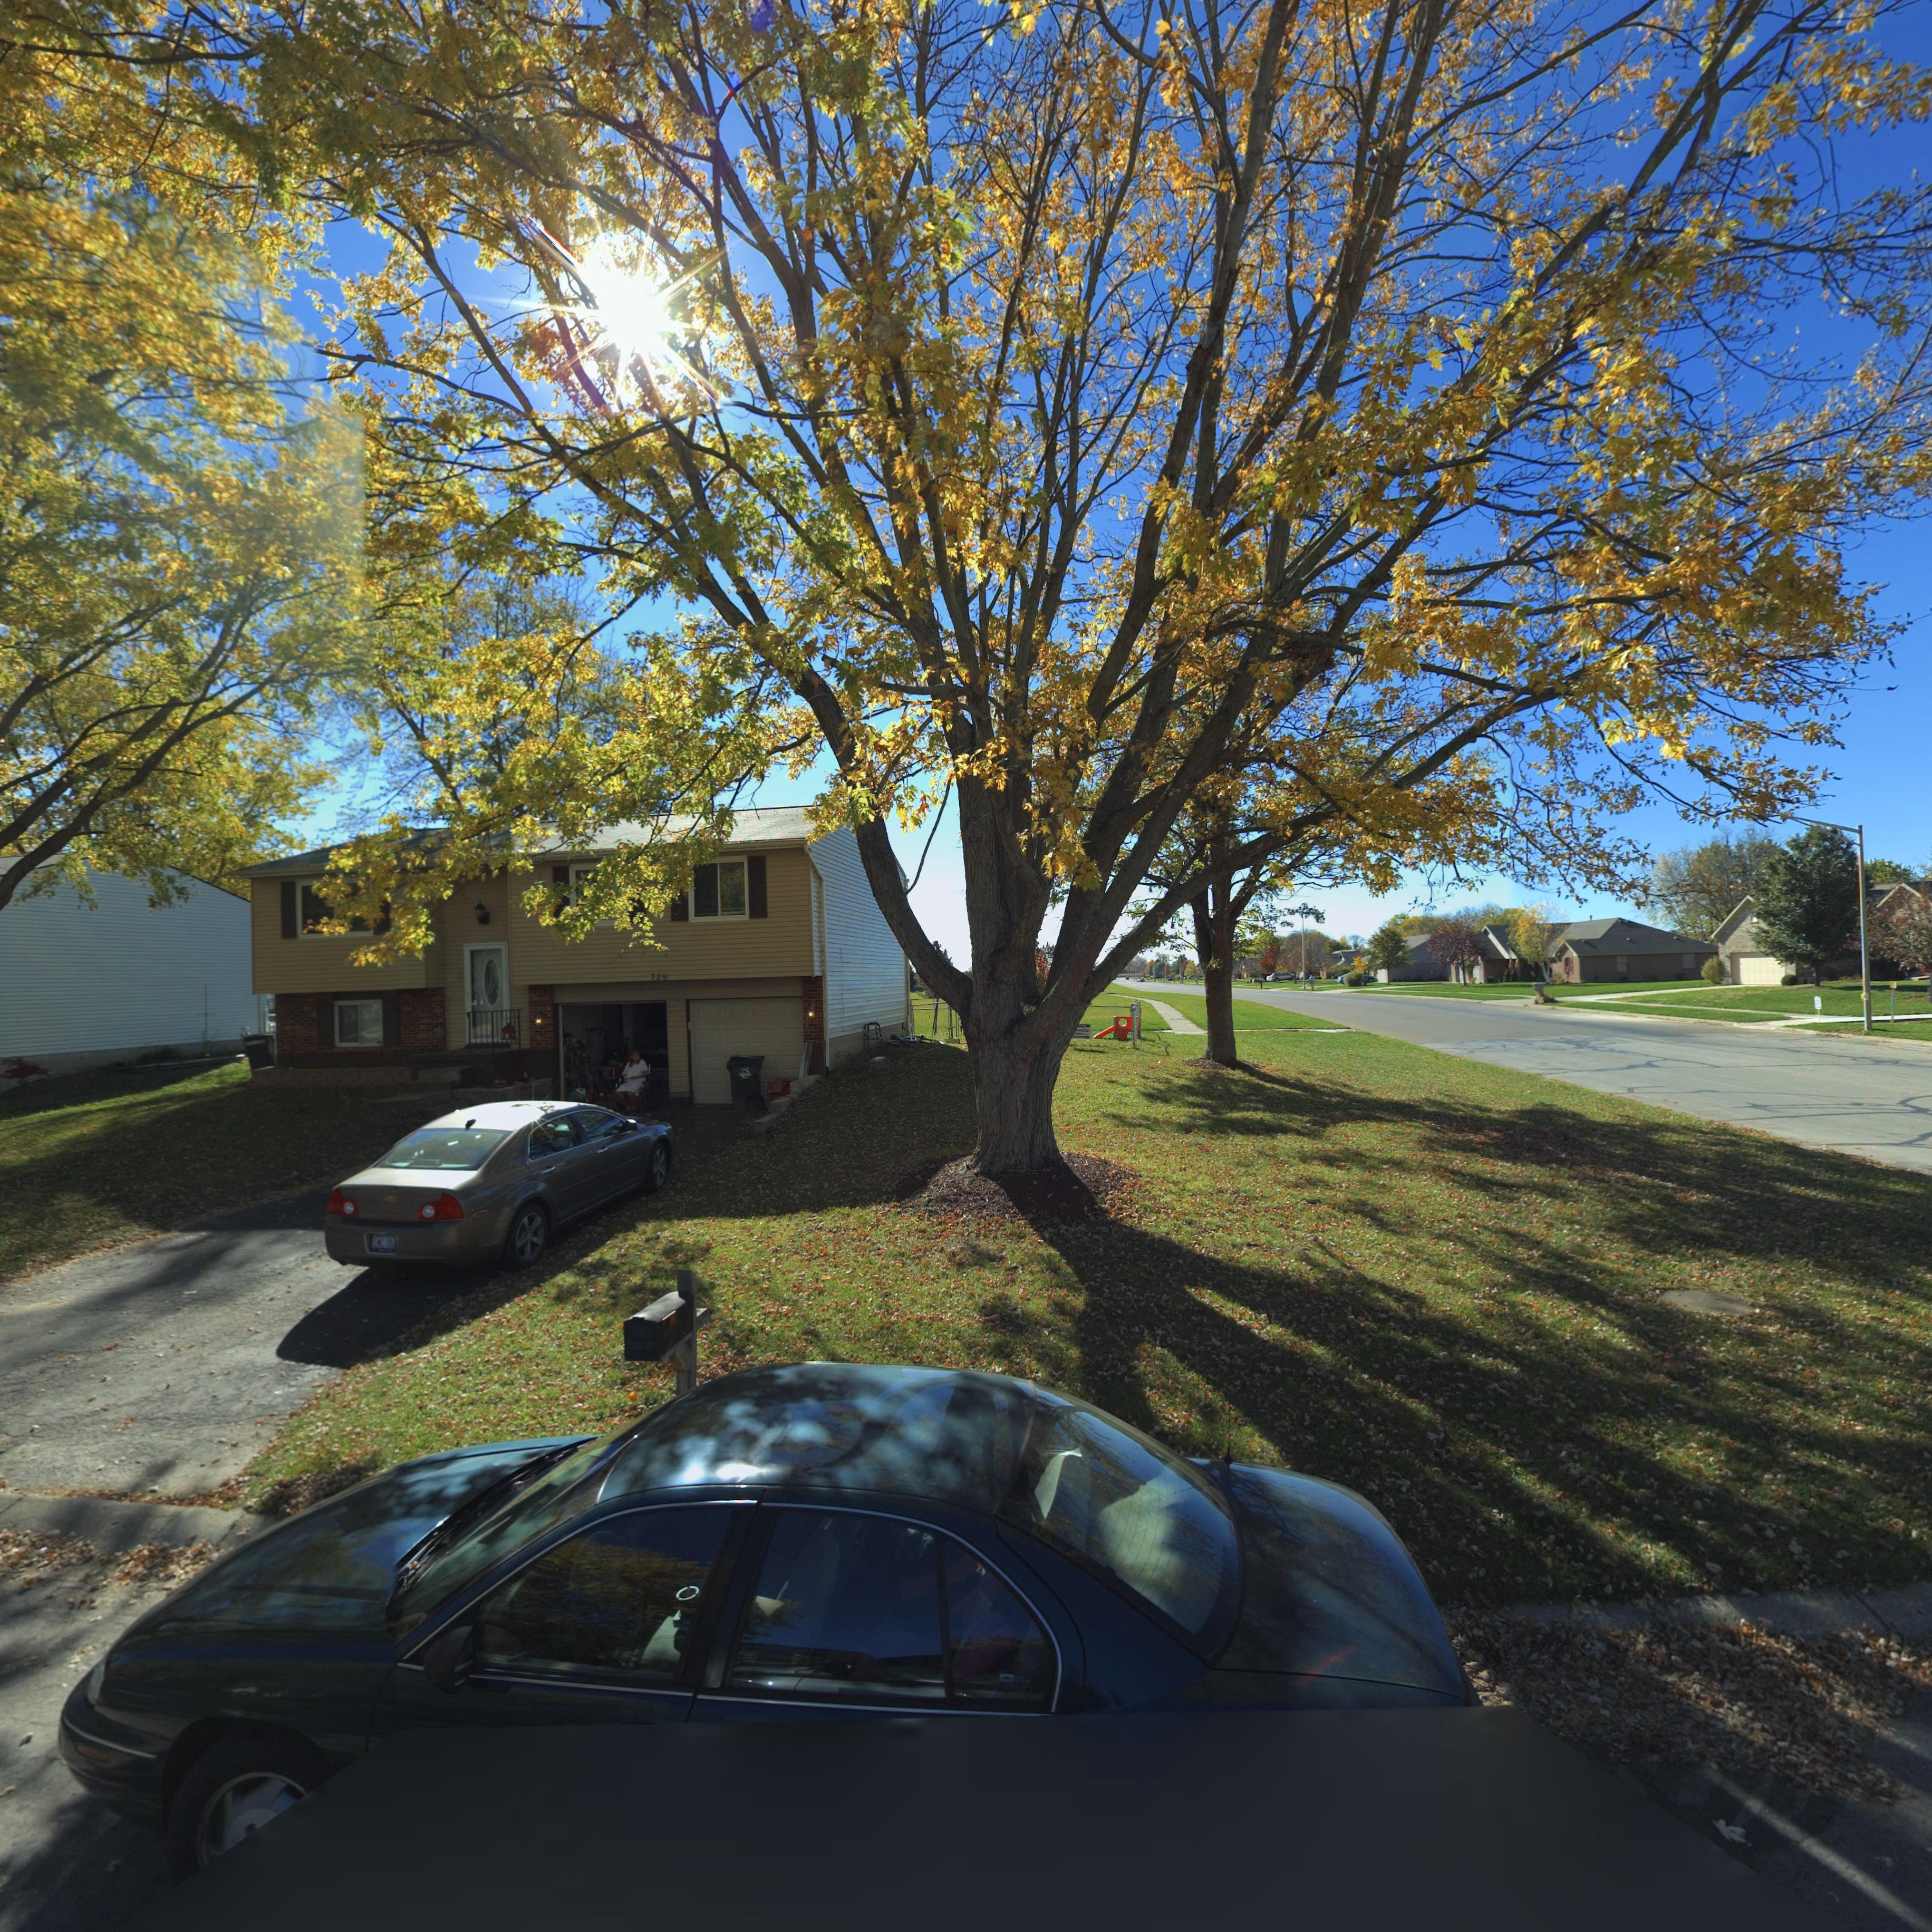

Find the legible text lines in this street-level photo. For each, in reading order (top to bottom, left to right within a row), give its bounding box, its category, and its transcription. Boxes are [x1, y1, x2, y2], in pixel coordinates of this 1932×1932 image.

[650, 973, 667, 981] StreetNumber: 729